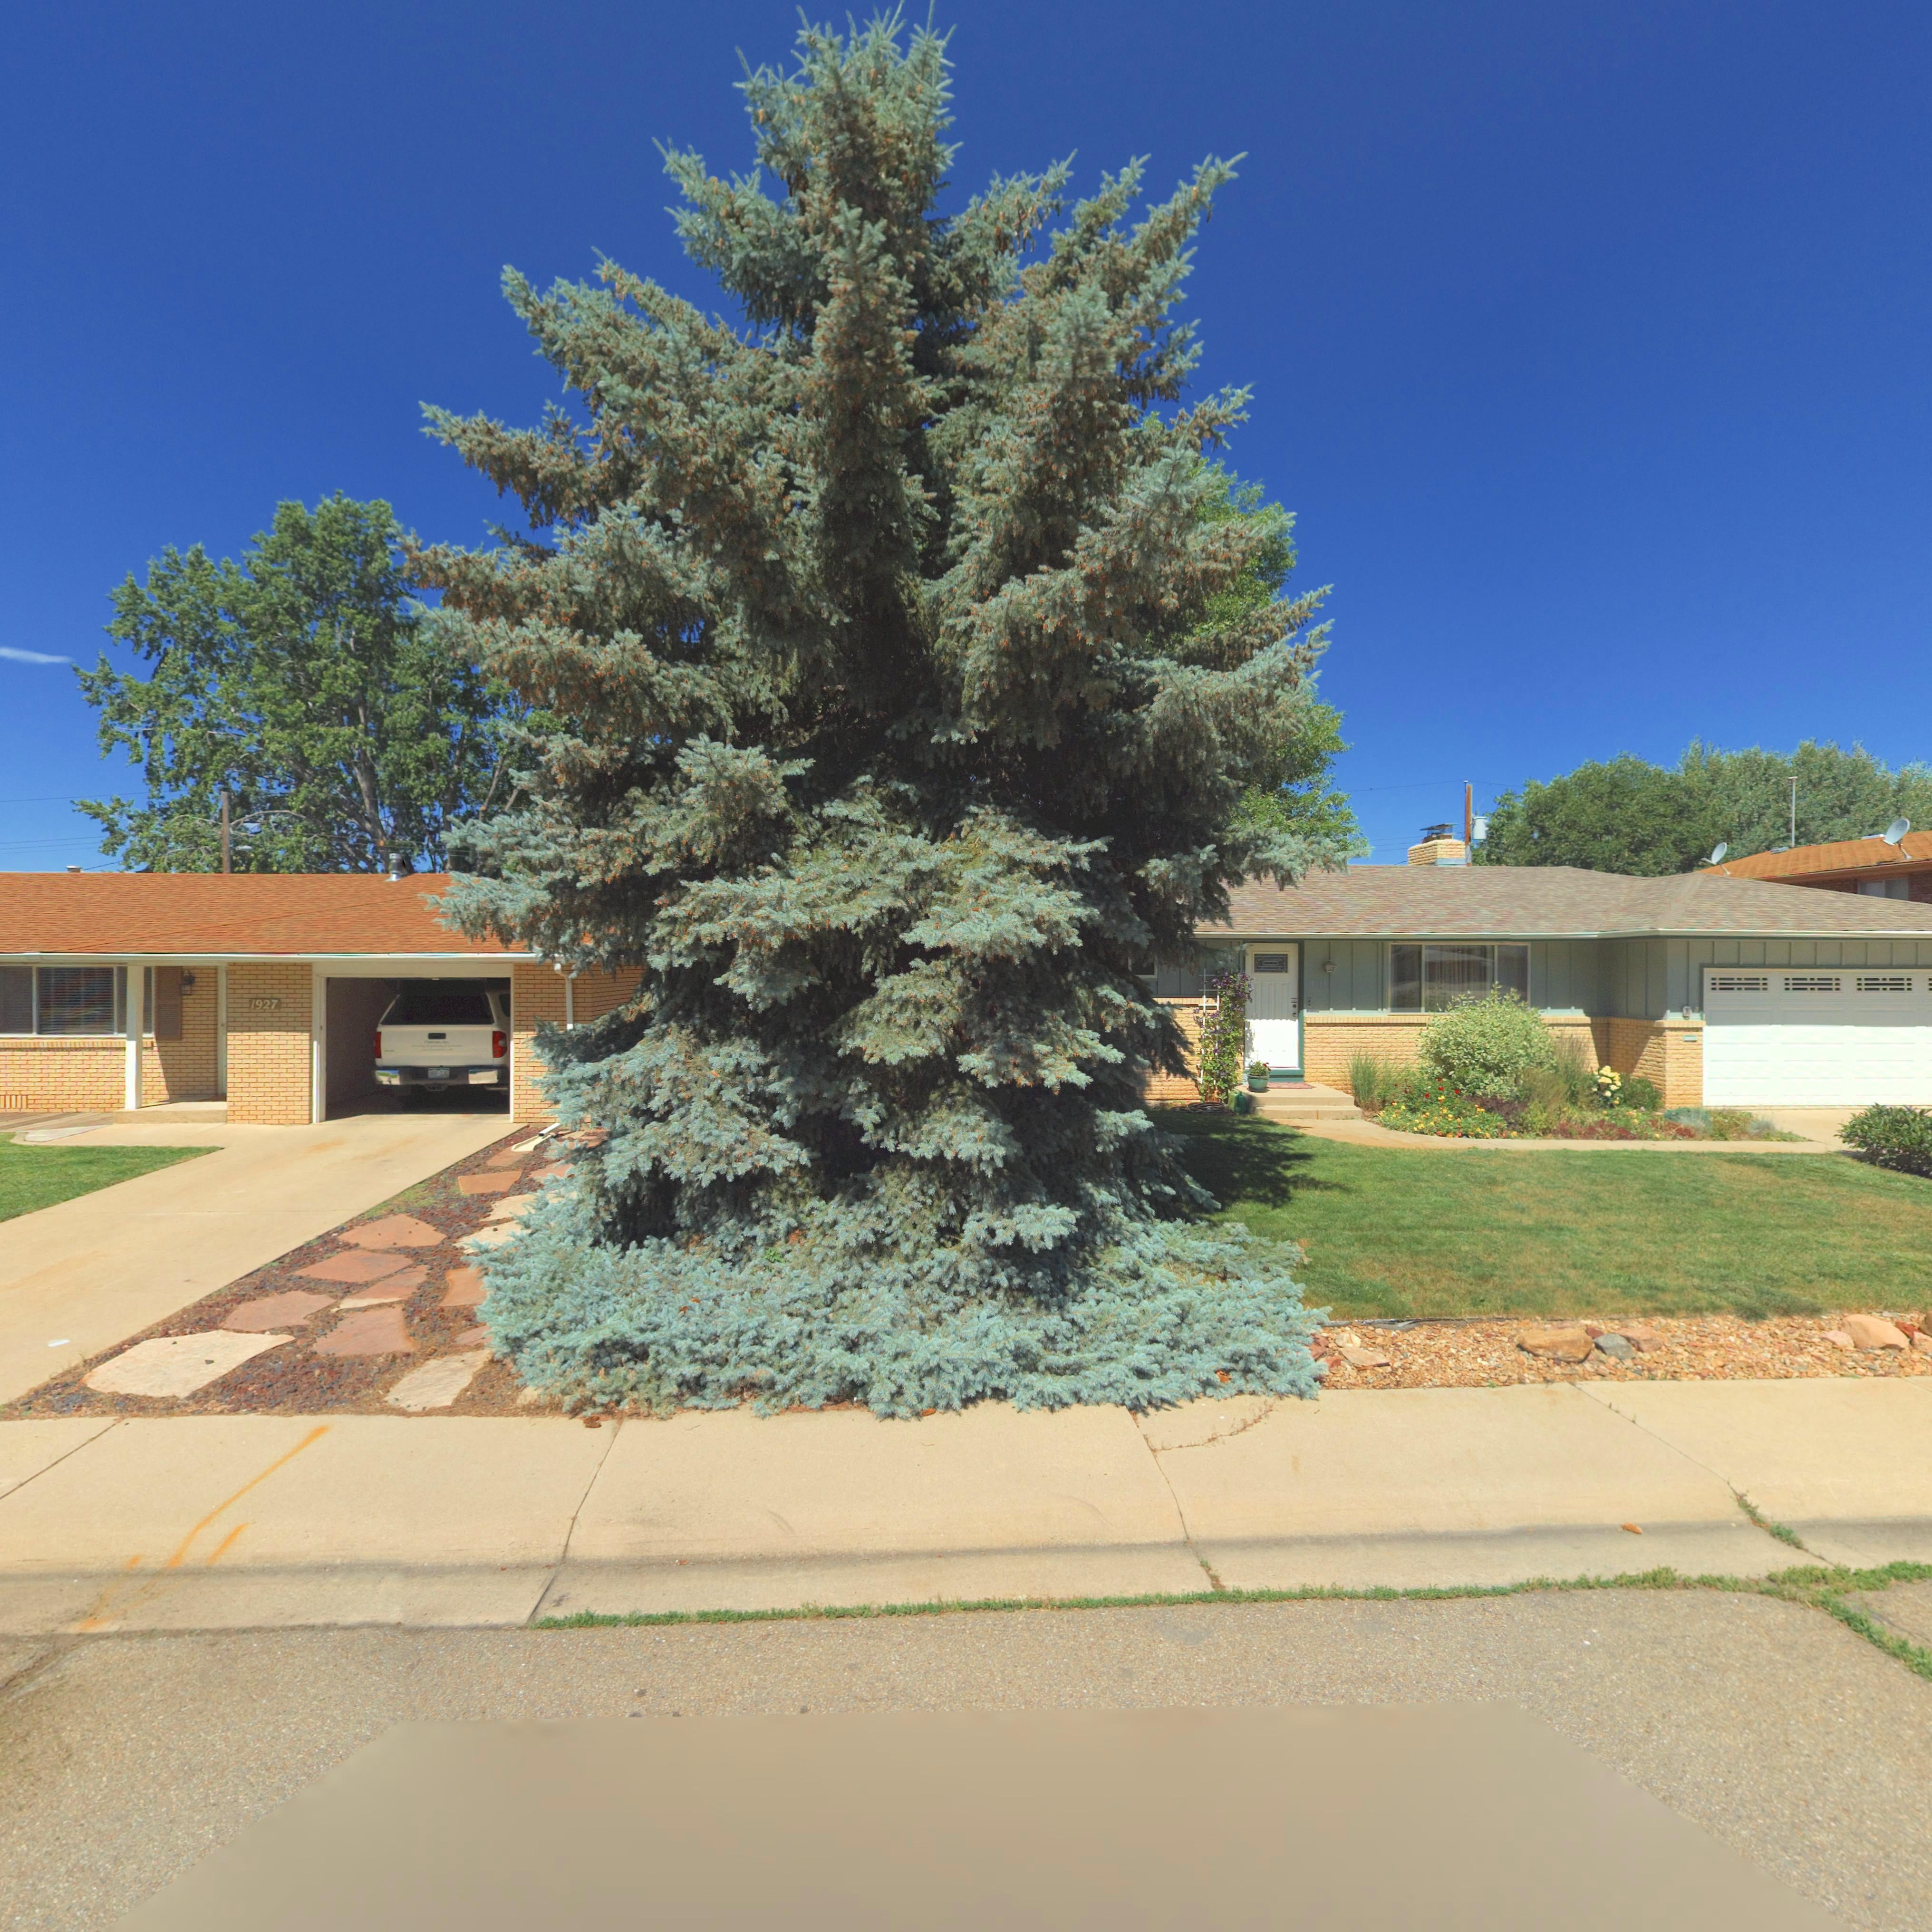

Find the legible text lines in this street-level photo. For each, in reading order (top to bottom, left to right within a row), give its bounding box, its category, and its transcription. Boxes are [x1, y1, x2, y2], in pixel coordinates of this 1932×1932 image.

[1310, 979, 1327, 987] StreetNumber: 1933
[251, 998, 278, 1009] StreetNumber: 1927